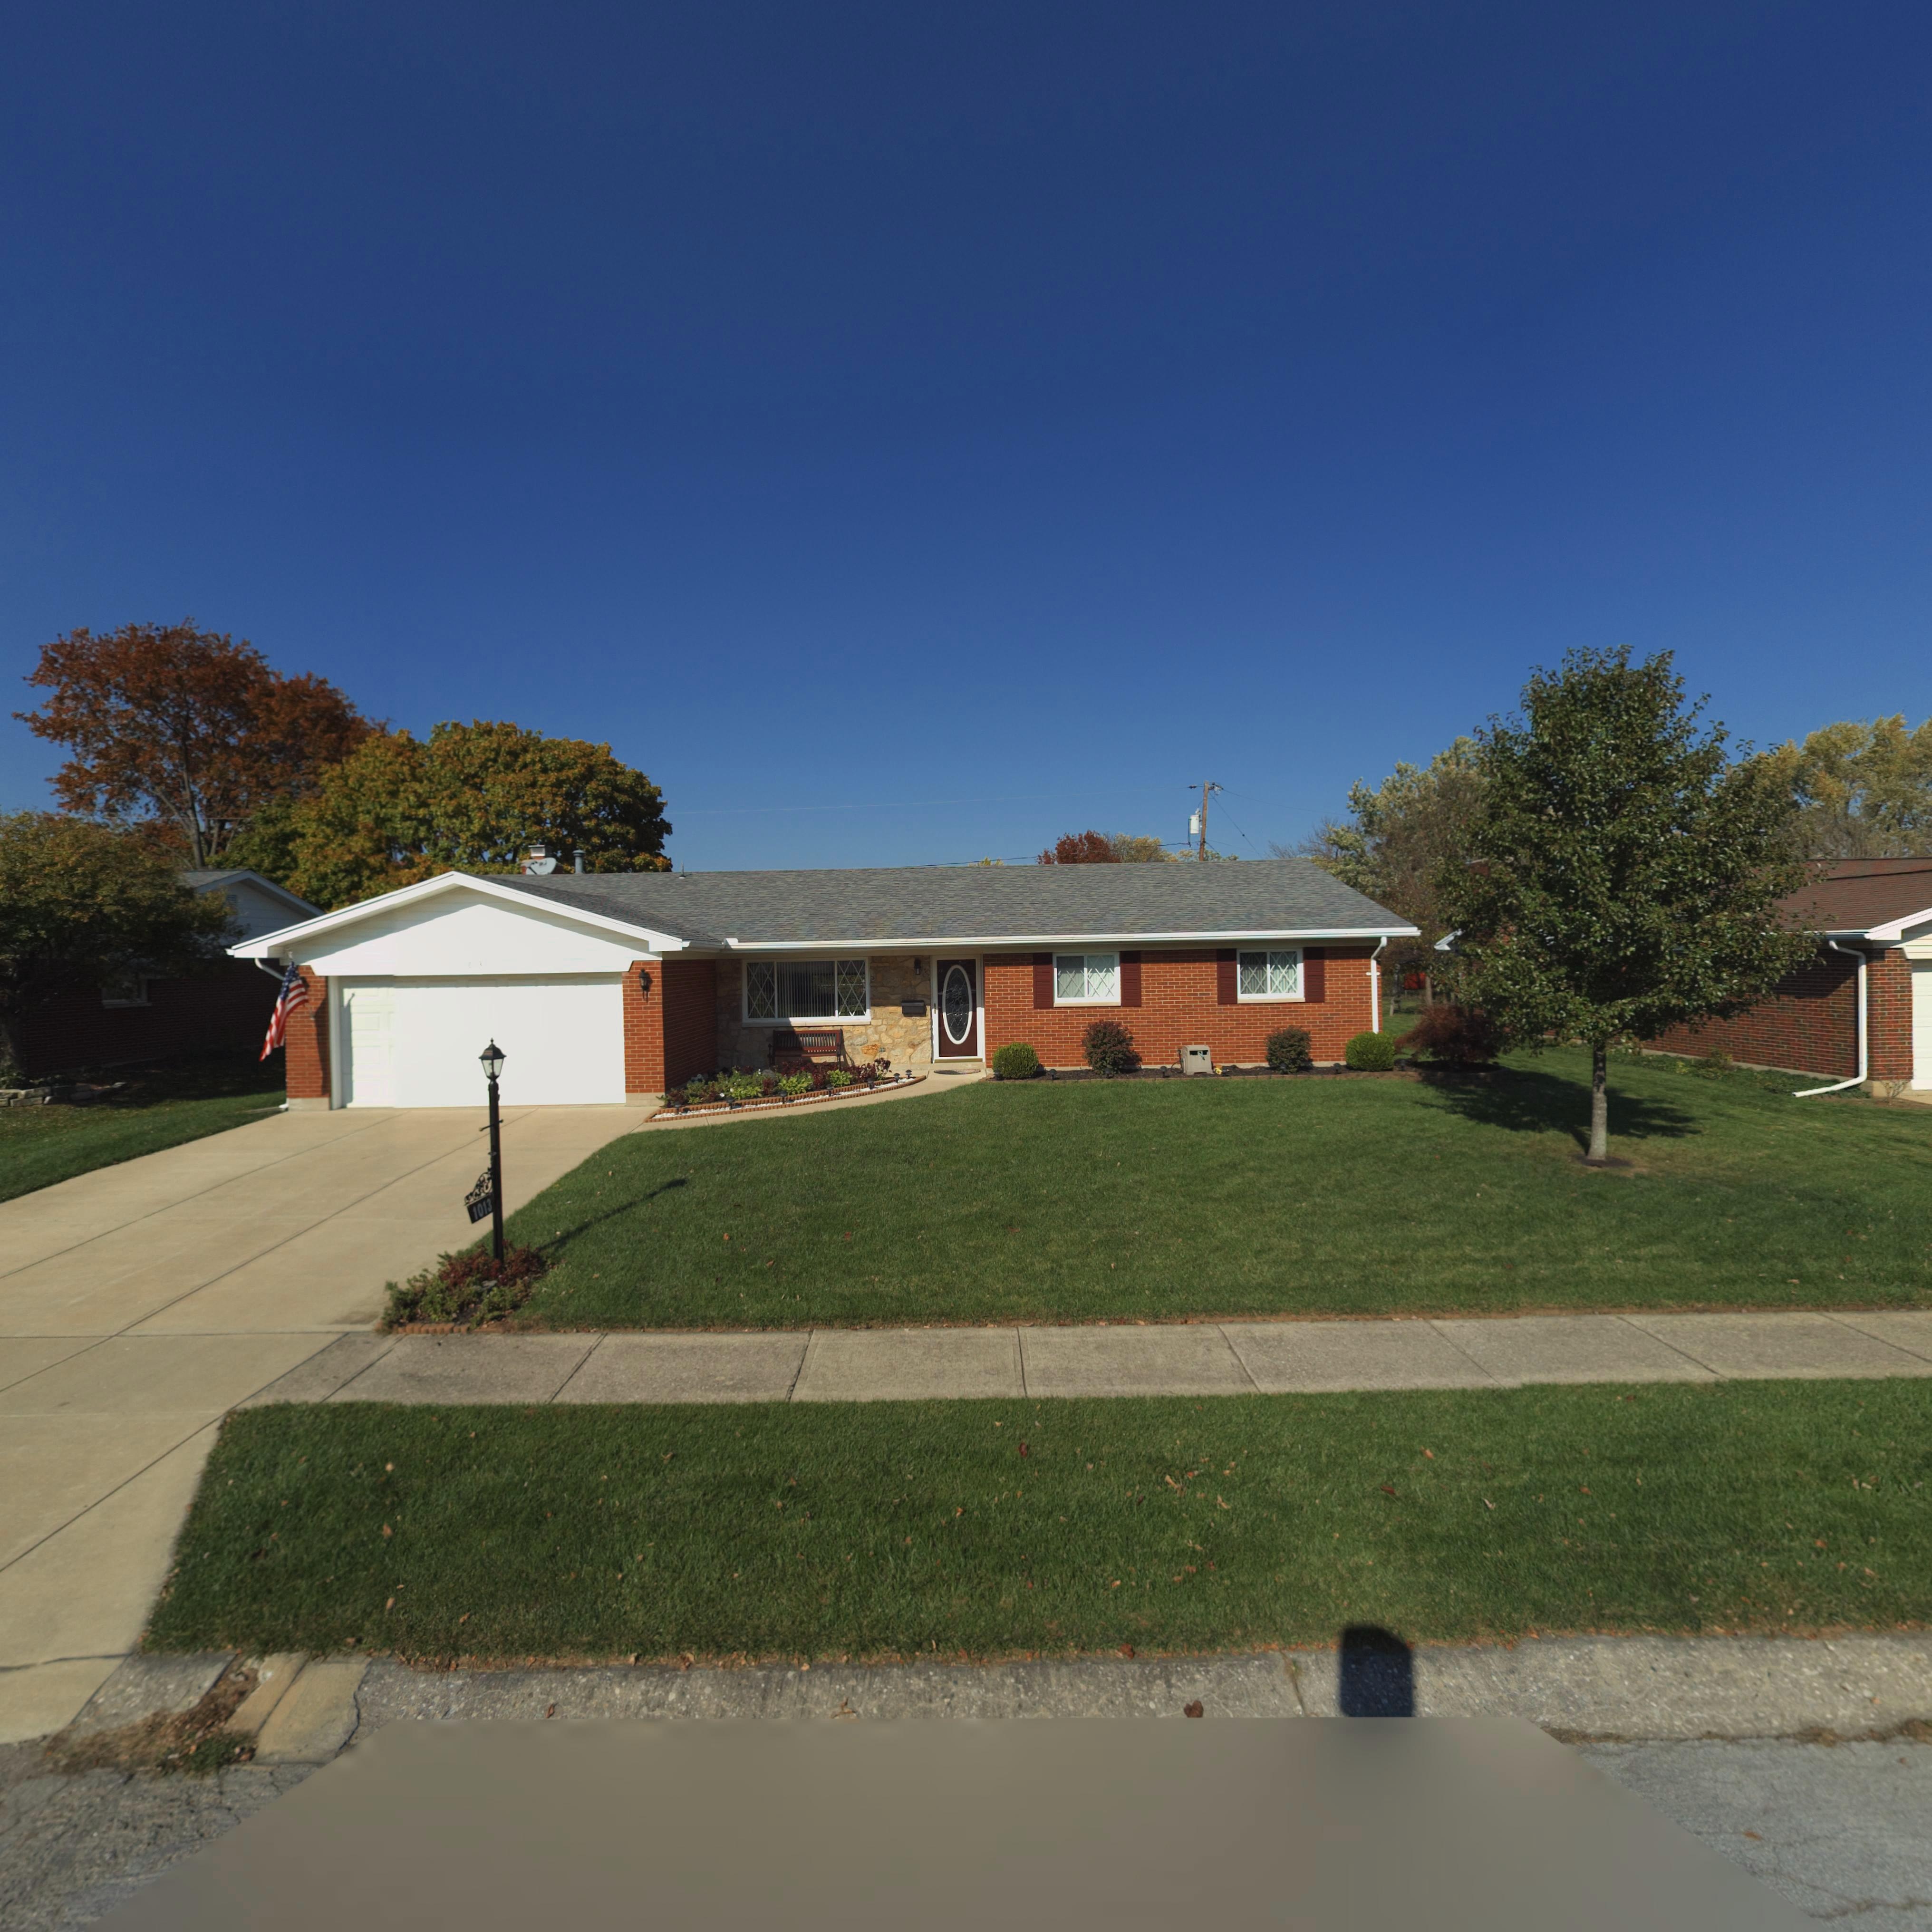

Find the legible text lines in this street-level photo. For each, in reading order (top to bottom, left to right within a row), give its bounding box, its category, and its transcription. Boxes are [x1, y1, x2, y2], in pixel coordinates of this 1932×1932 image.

[472, 1197, 493, 1221] StreetNumber: 1013